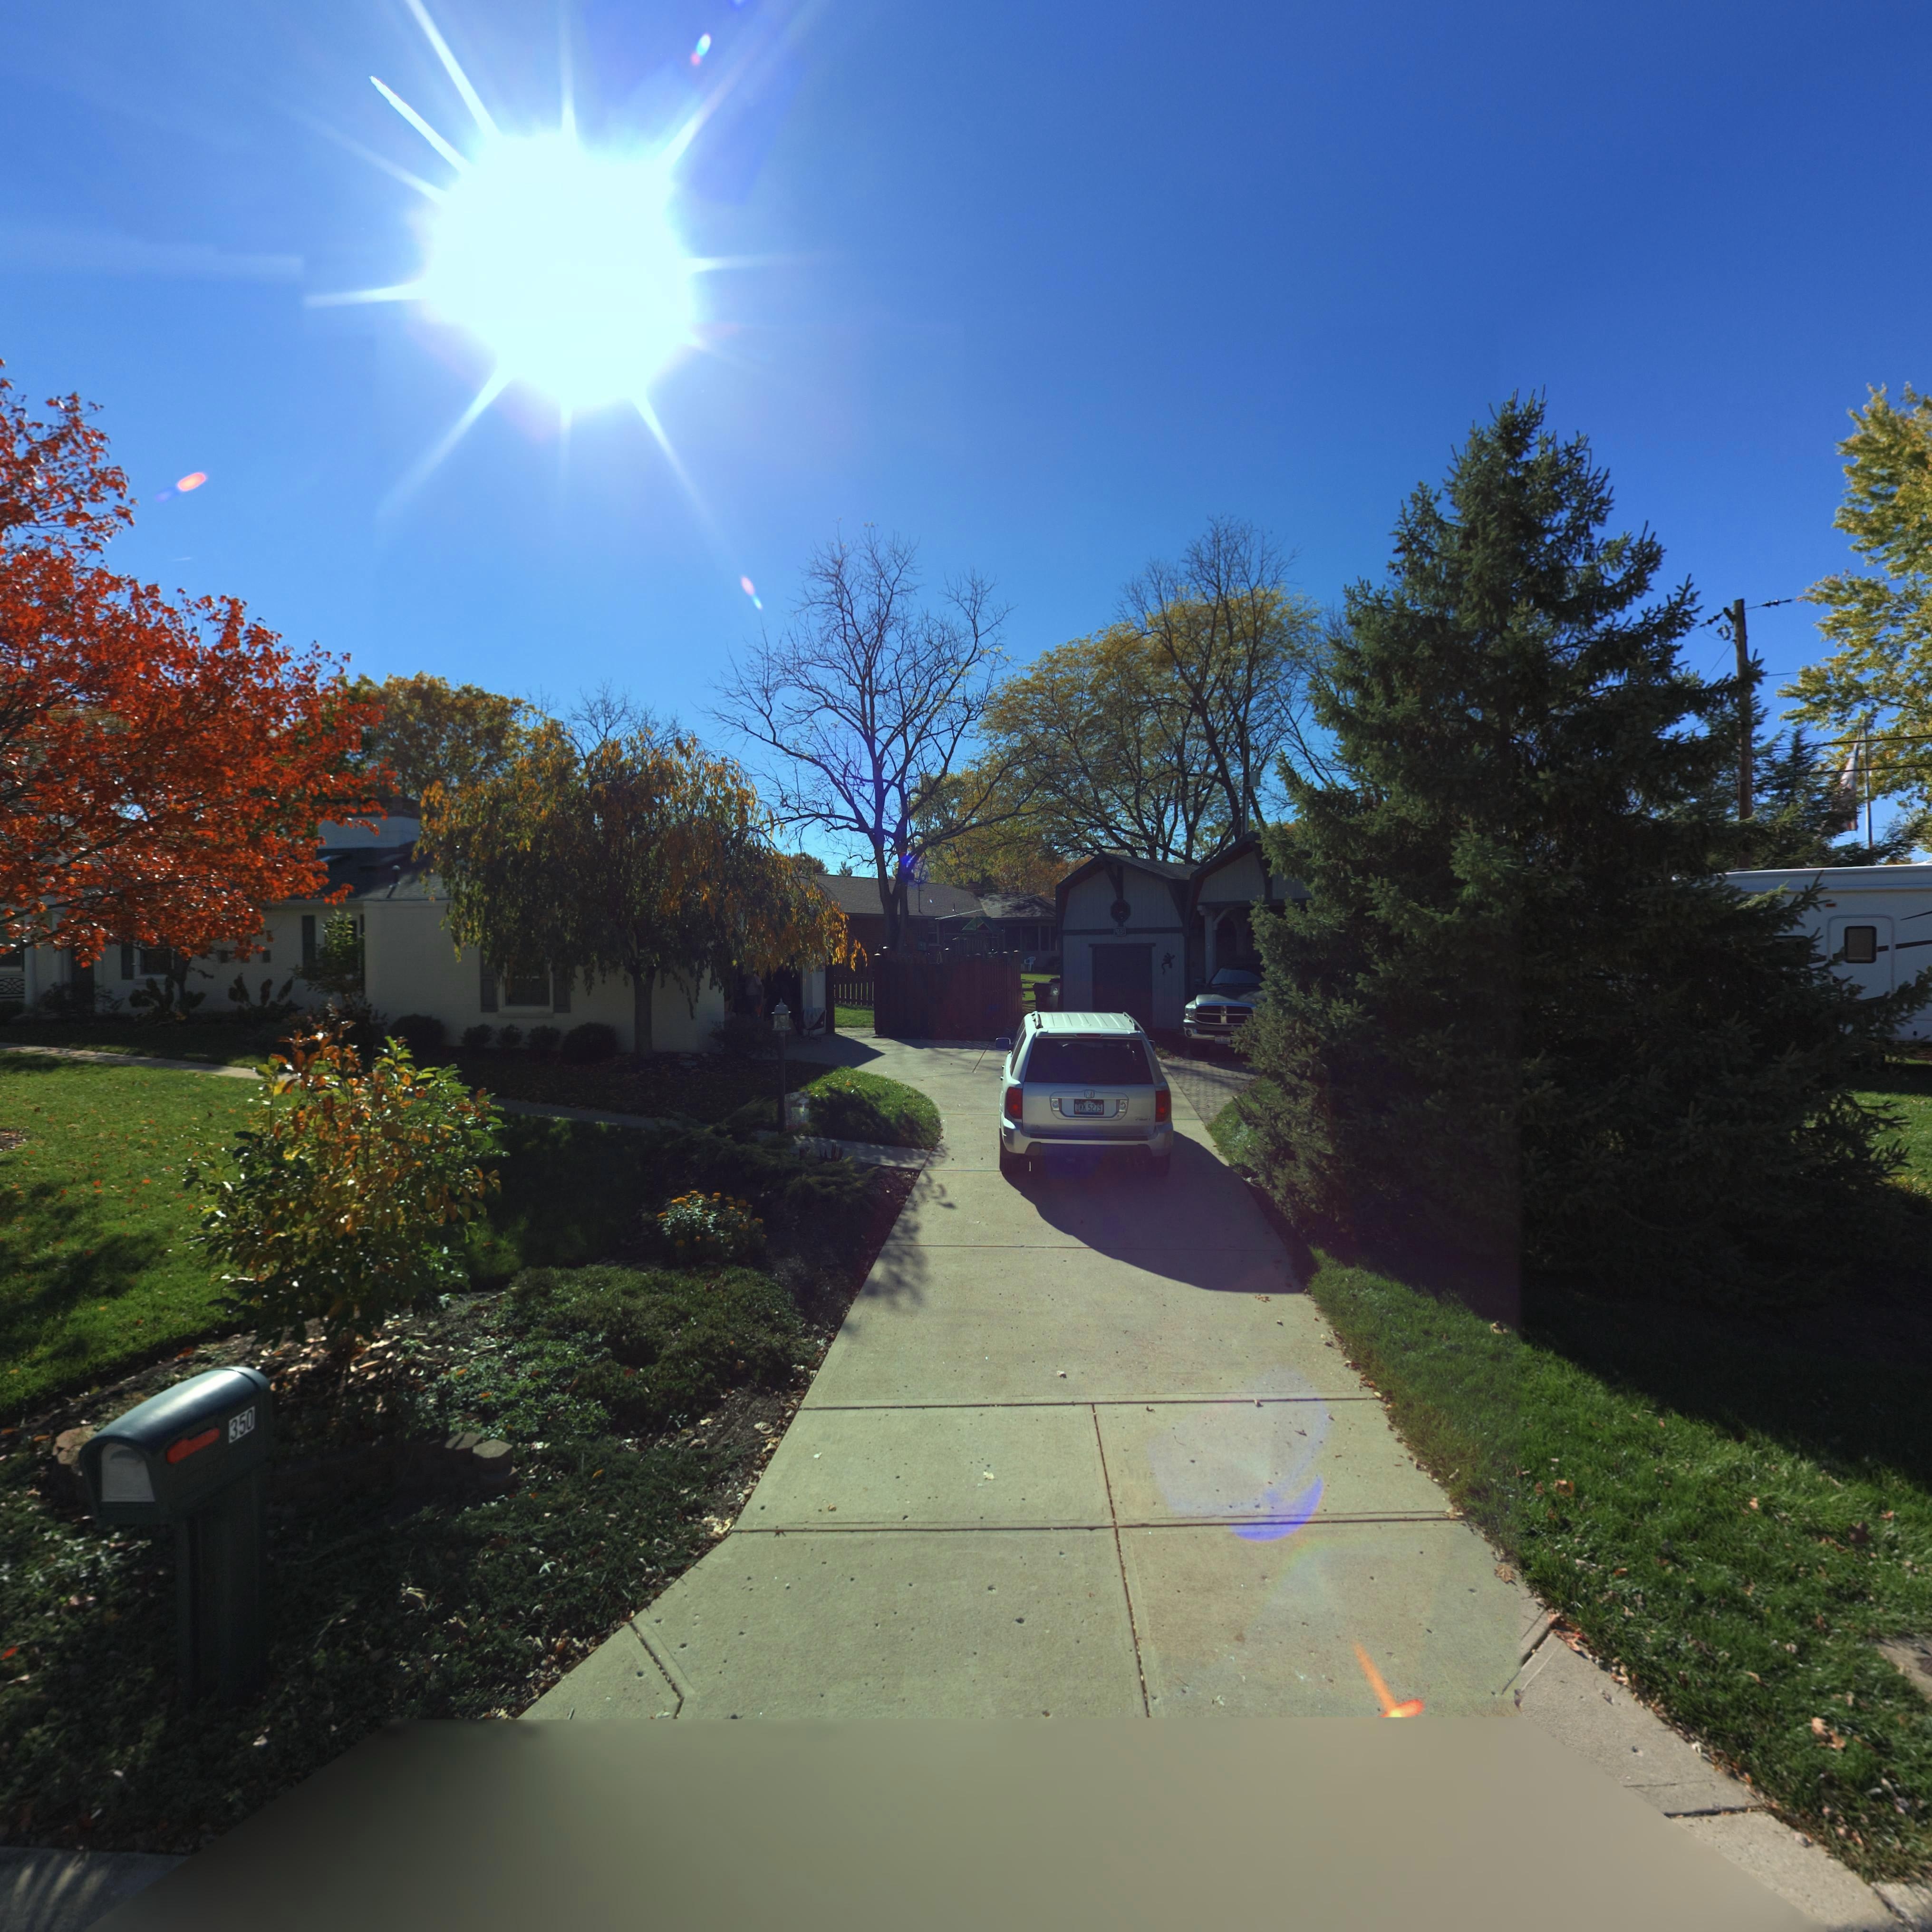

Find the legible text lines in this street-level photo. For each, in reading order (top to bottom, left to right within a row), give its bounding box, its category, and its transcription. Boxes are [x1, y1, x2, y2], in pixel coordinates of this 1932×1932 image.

[1075, 1103, 1102, 1112] None: DKK*5279
[229, 1407, 254, 1443] StreetNumber: 350